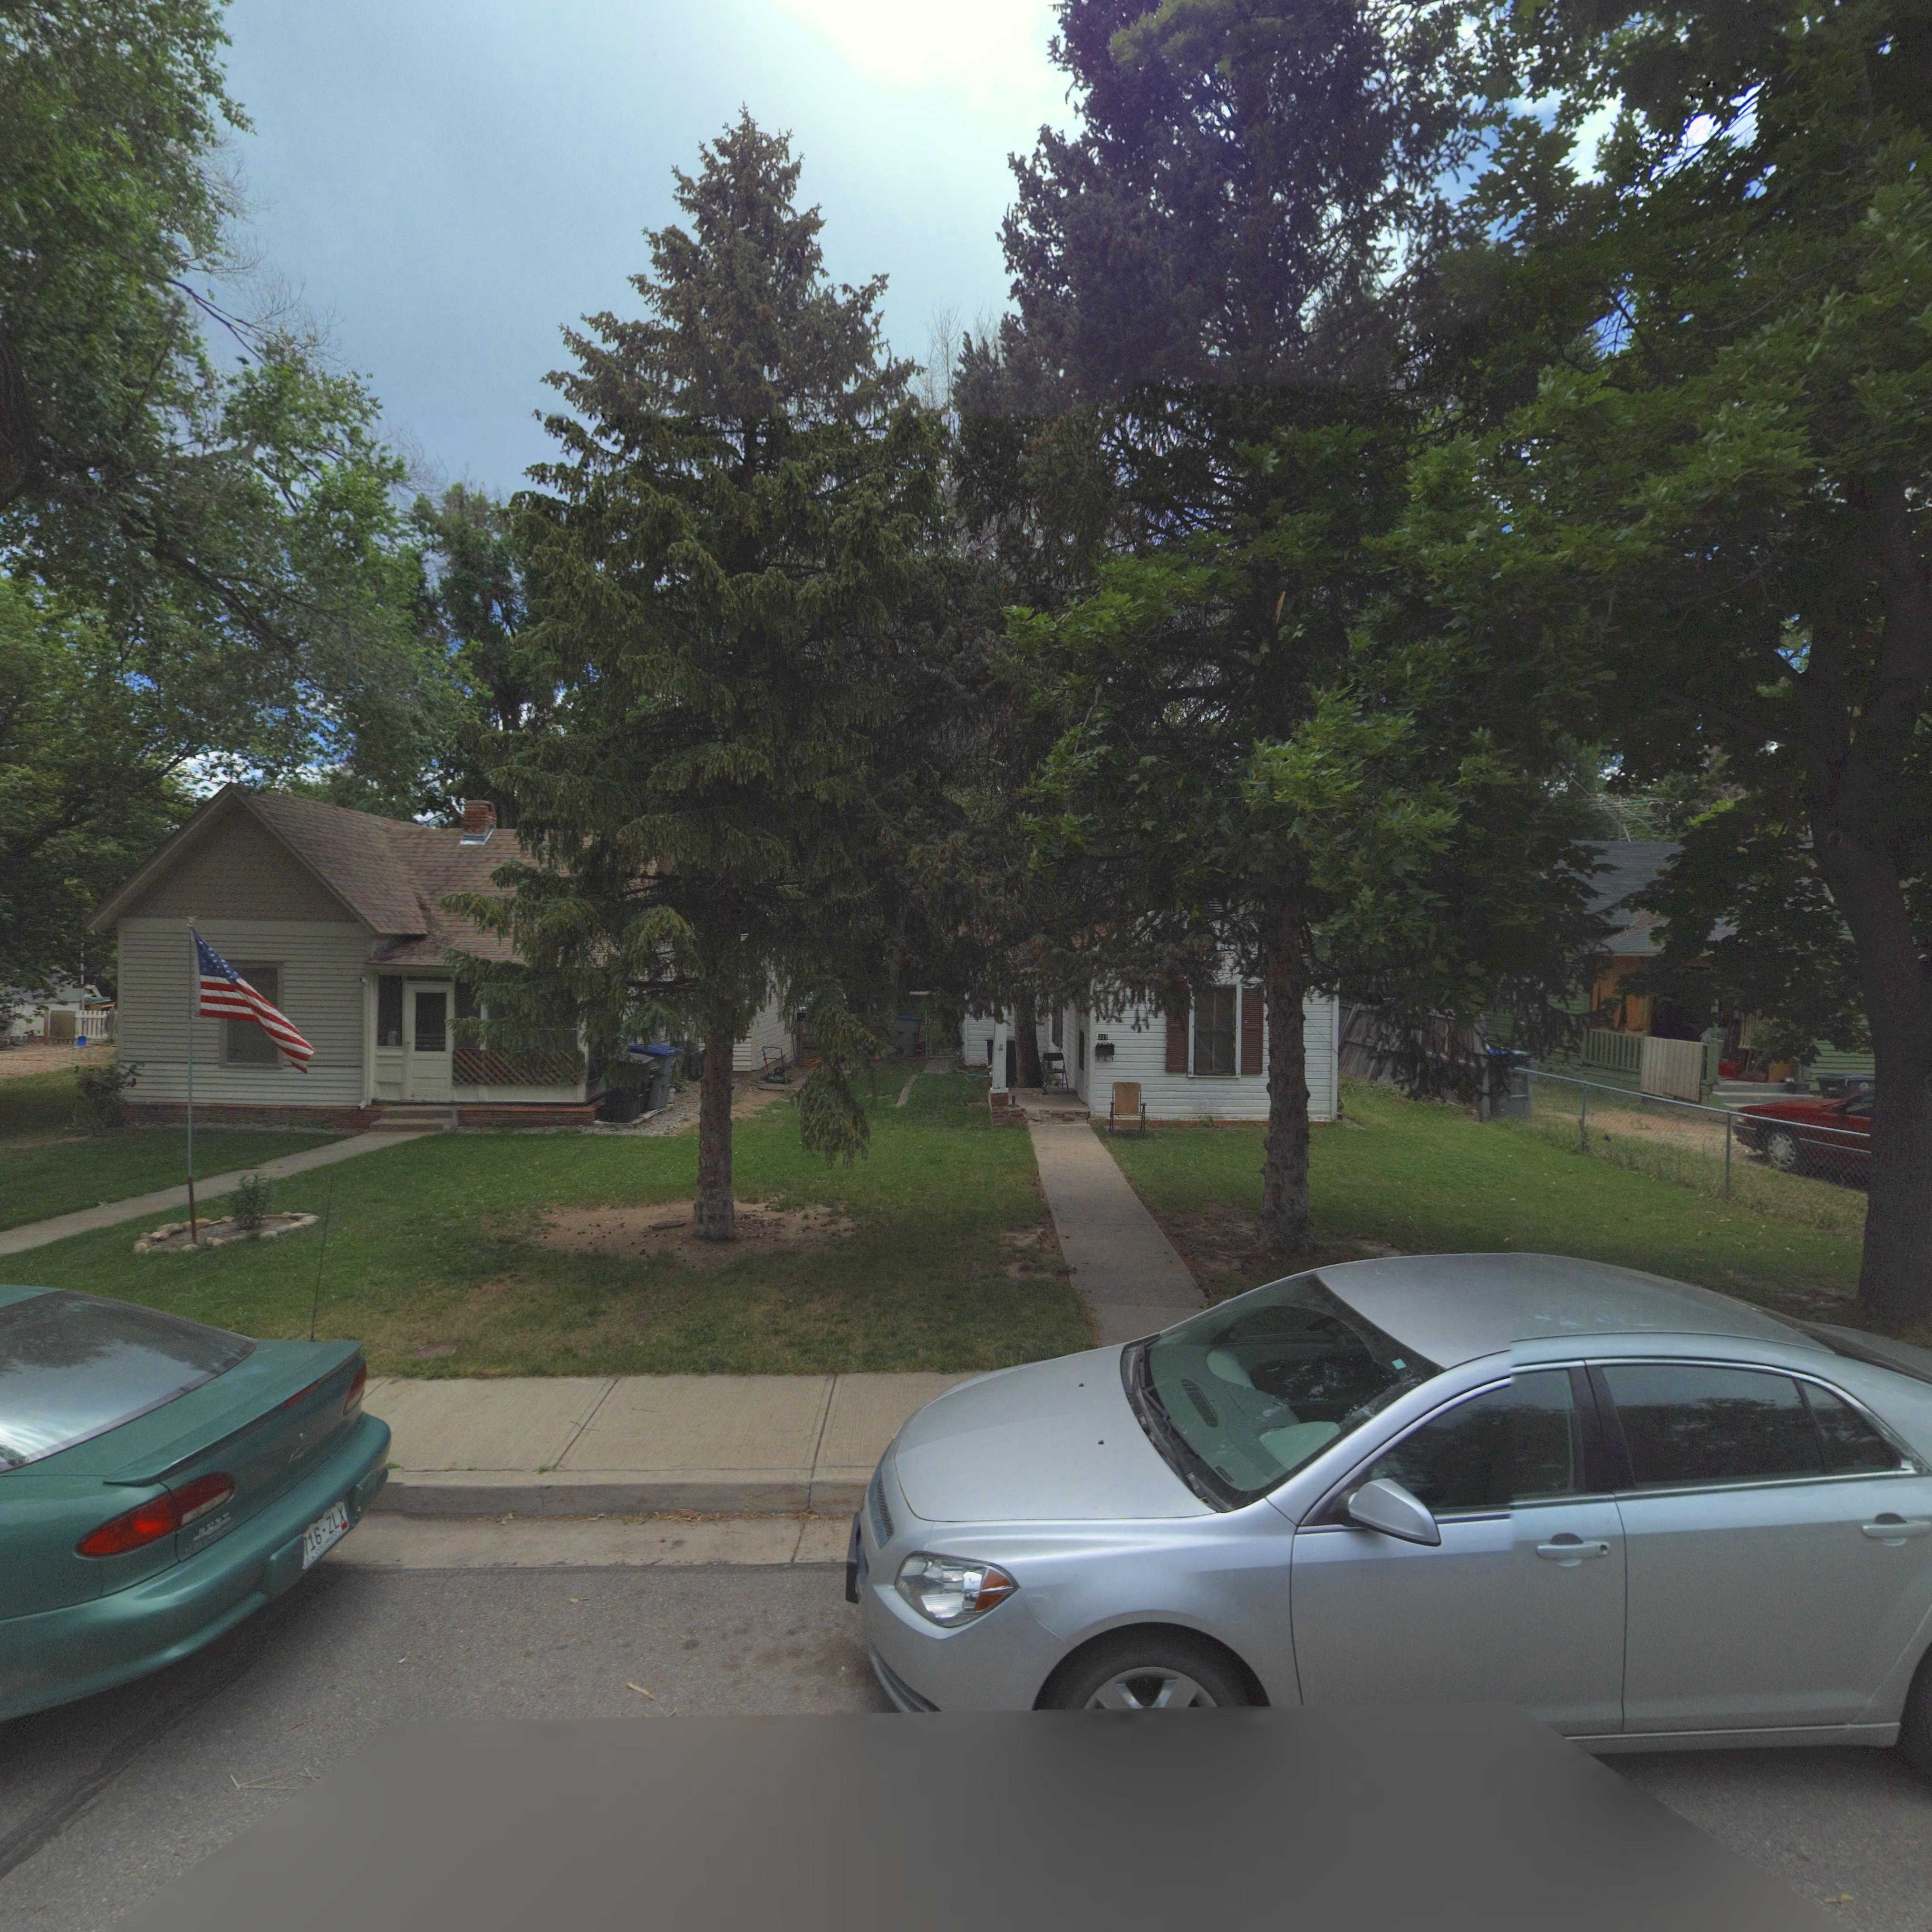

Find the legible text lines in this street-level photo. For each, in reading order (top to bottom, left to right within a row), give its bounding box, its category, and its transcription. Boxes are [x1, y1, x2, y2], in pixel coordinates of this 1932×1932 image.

[1098, 1034, 1107, 1040] StreetNumber: 337